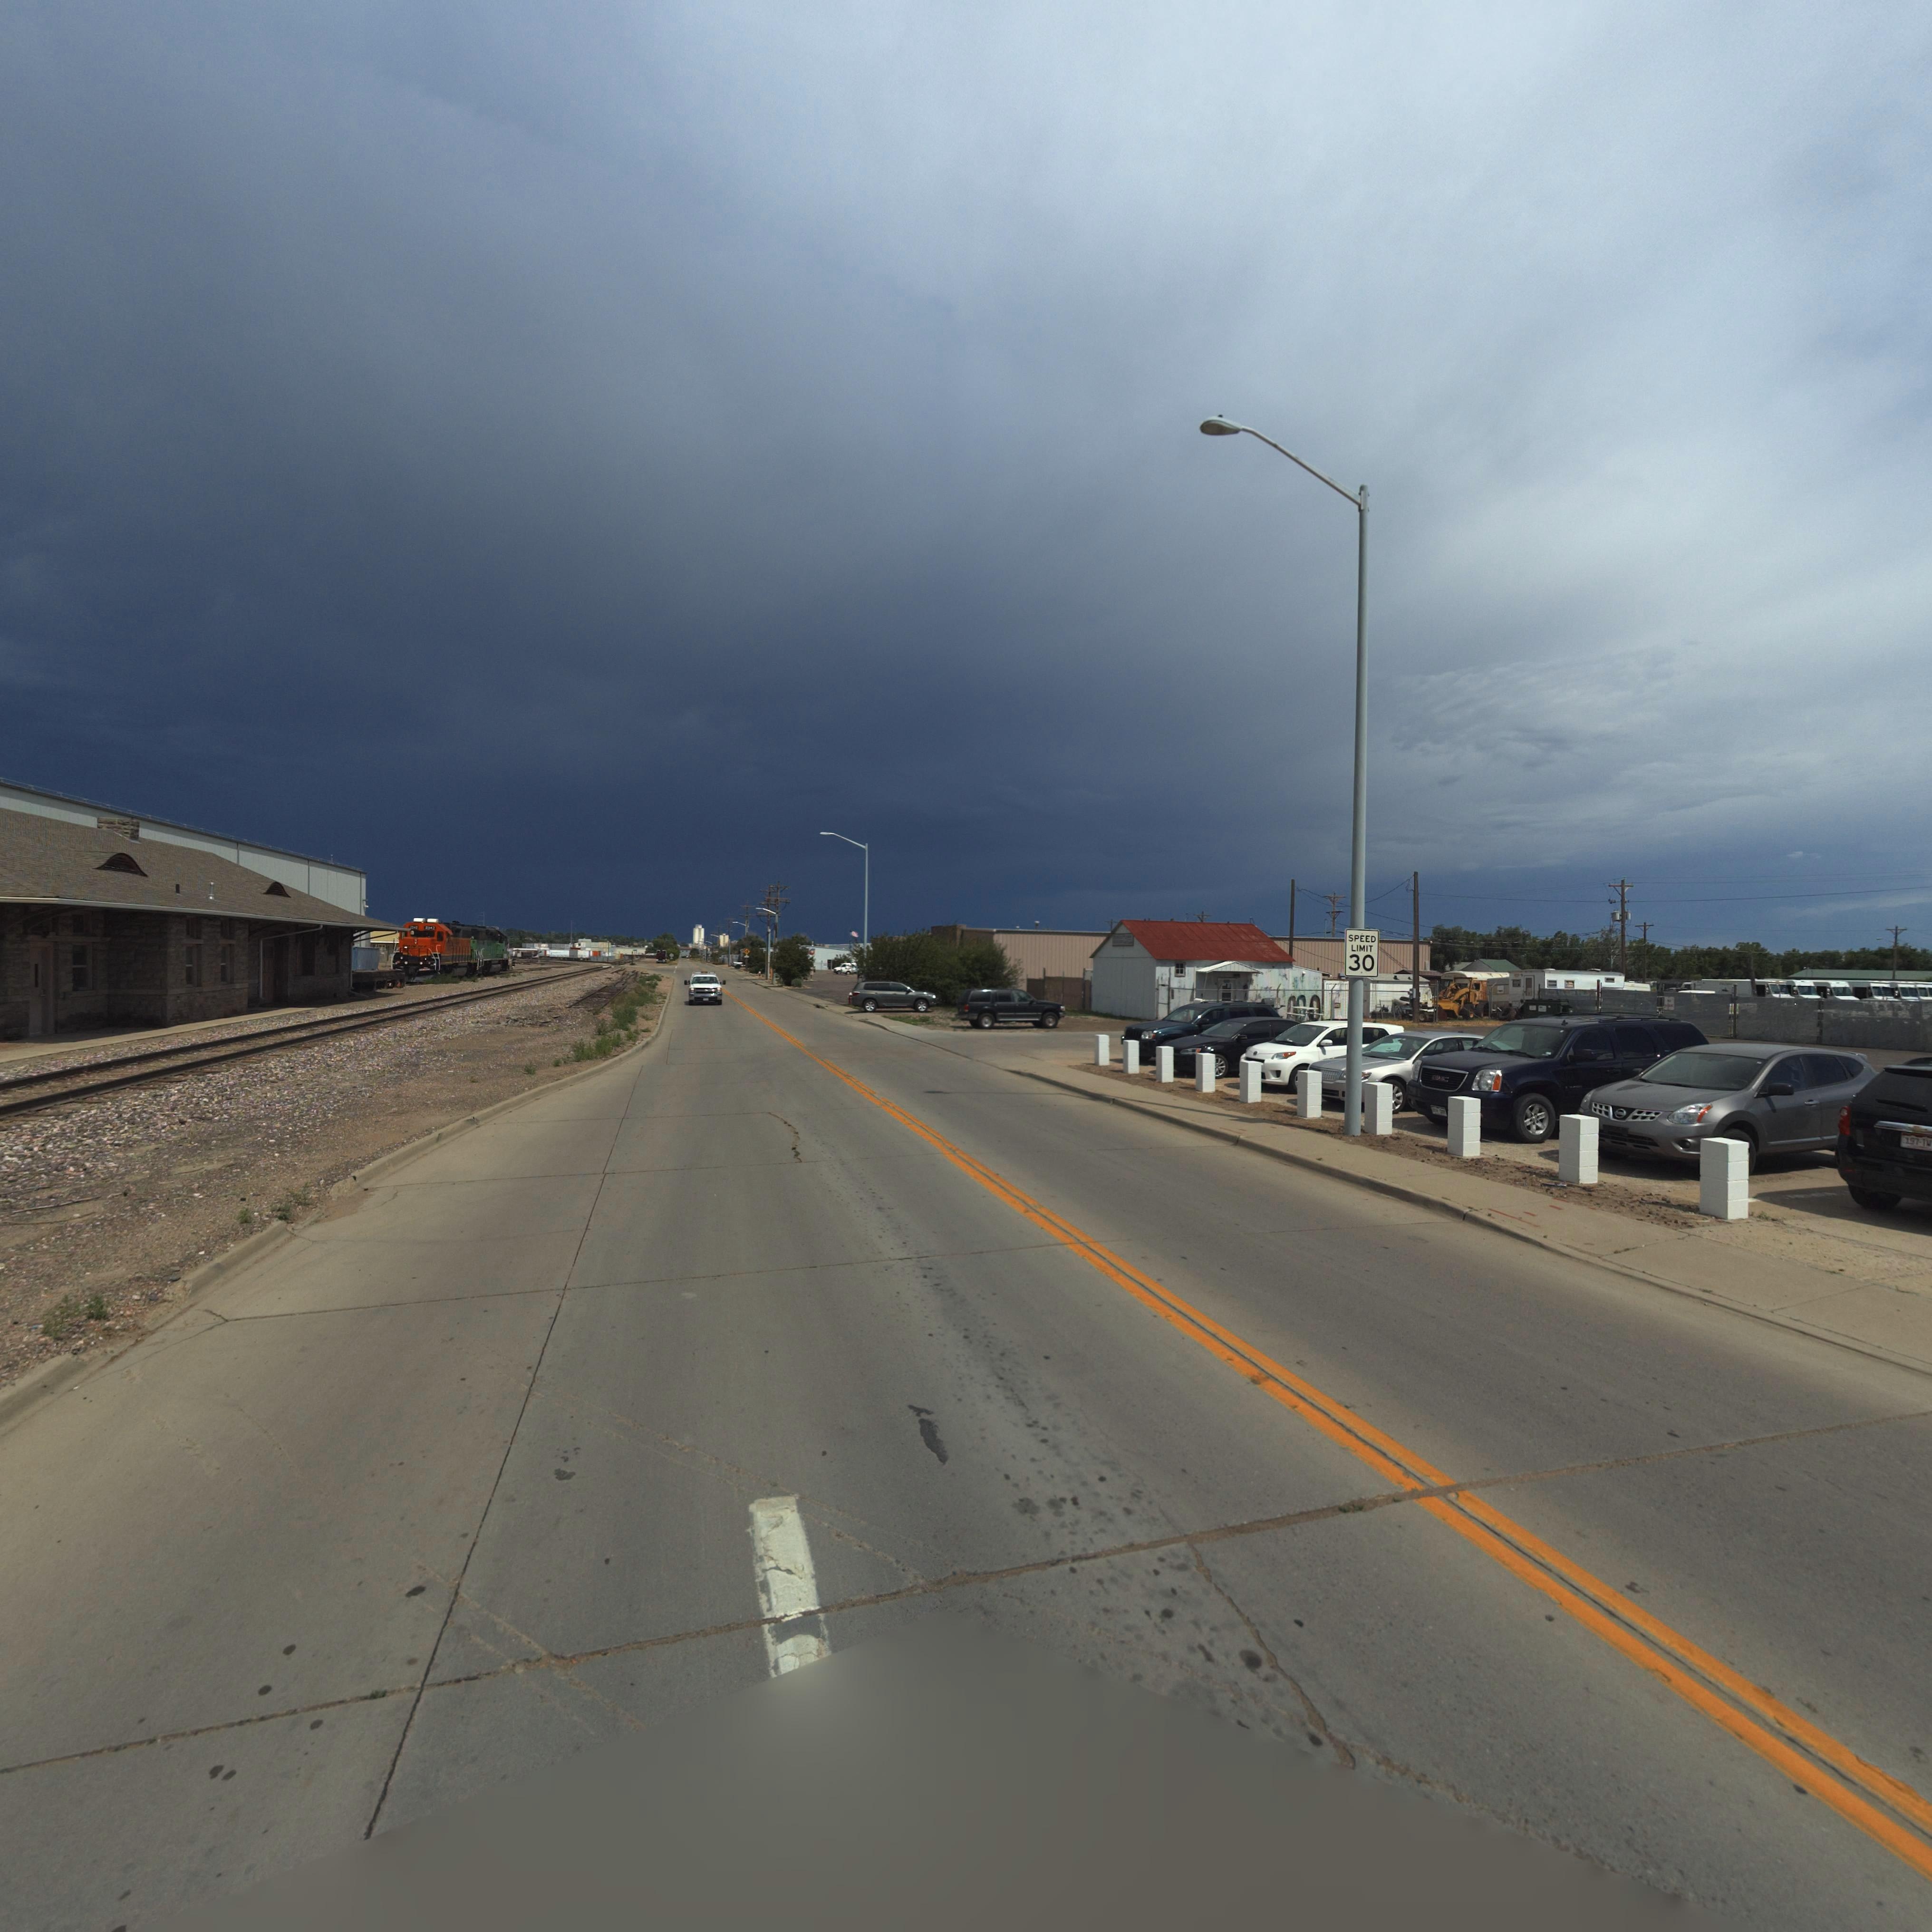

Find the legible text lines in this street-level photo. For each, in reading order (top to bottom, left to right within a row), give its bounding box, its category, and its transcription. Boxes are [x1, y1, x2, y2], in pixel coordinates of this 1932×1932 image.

[809, 949, 814, 955] BusinessName: C